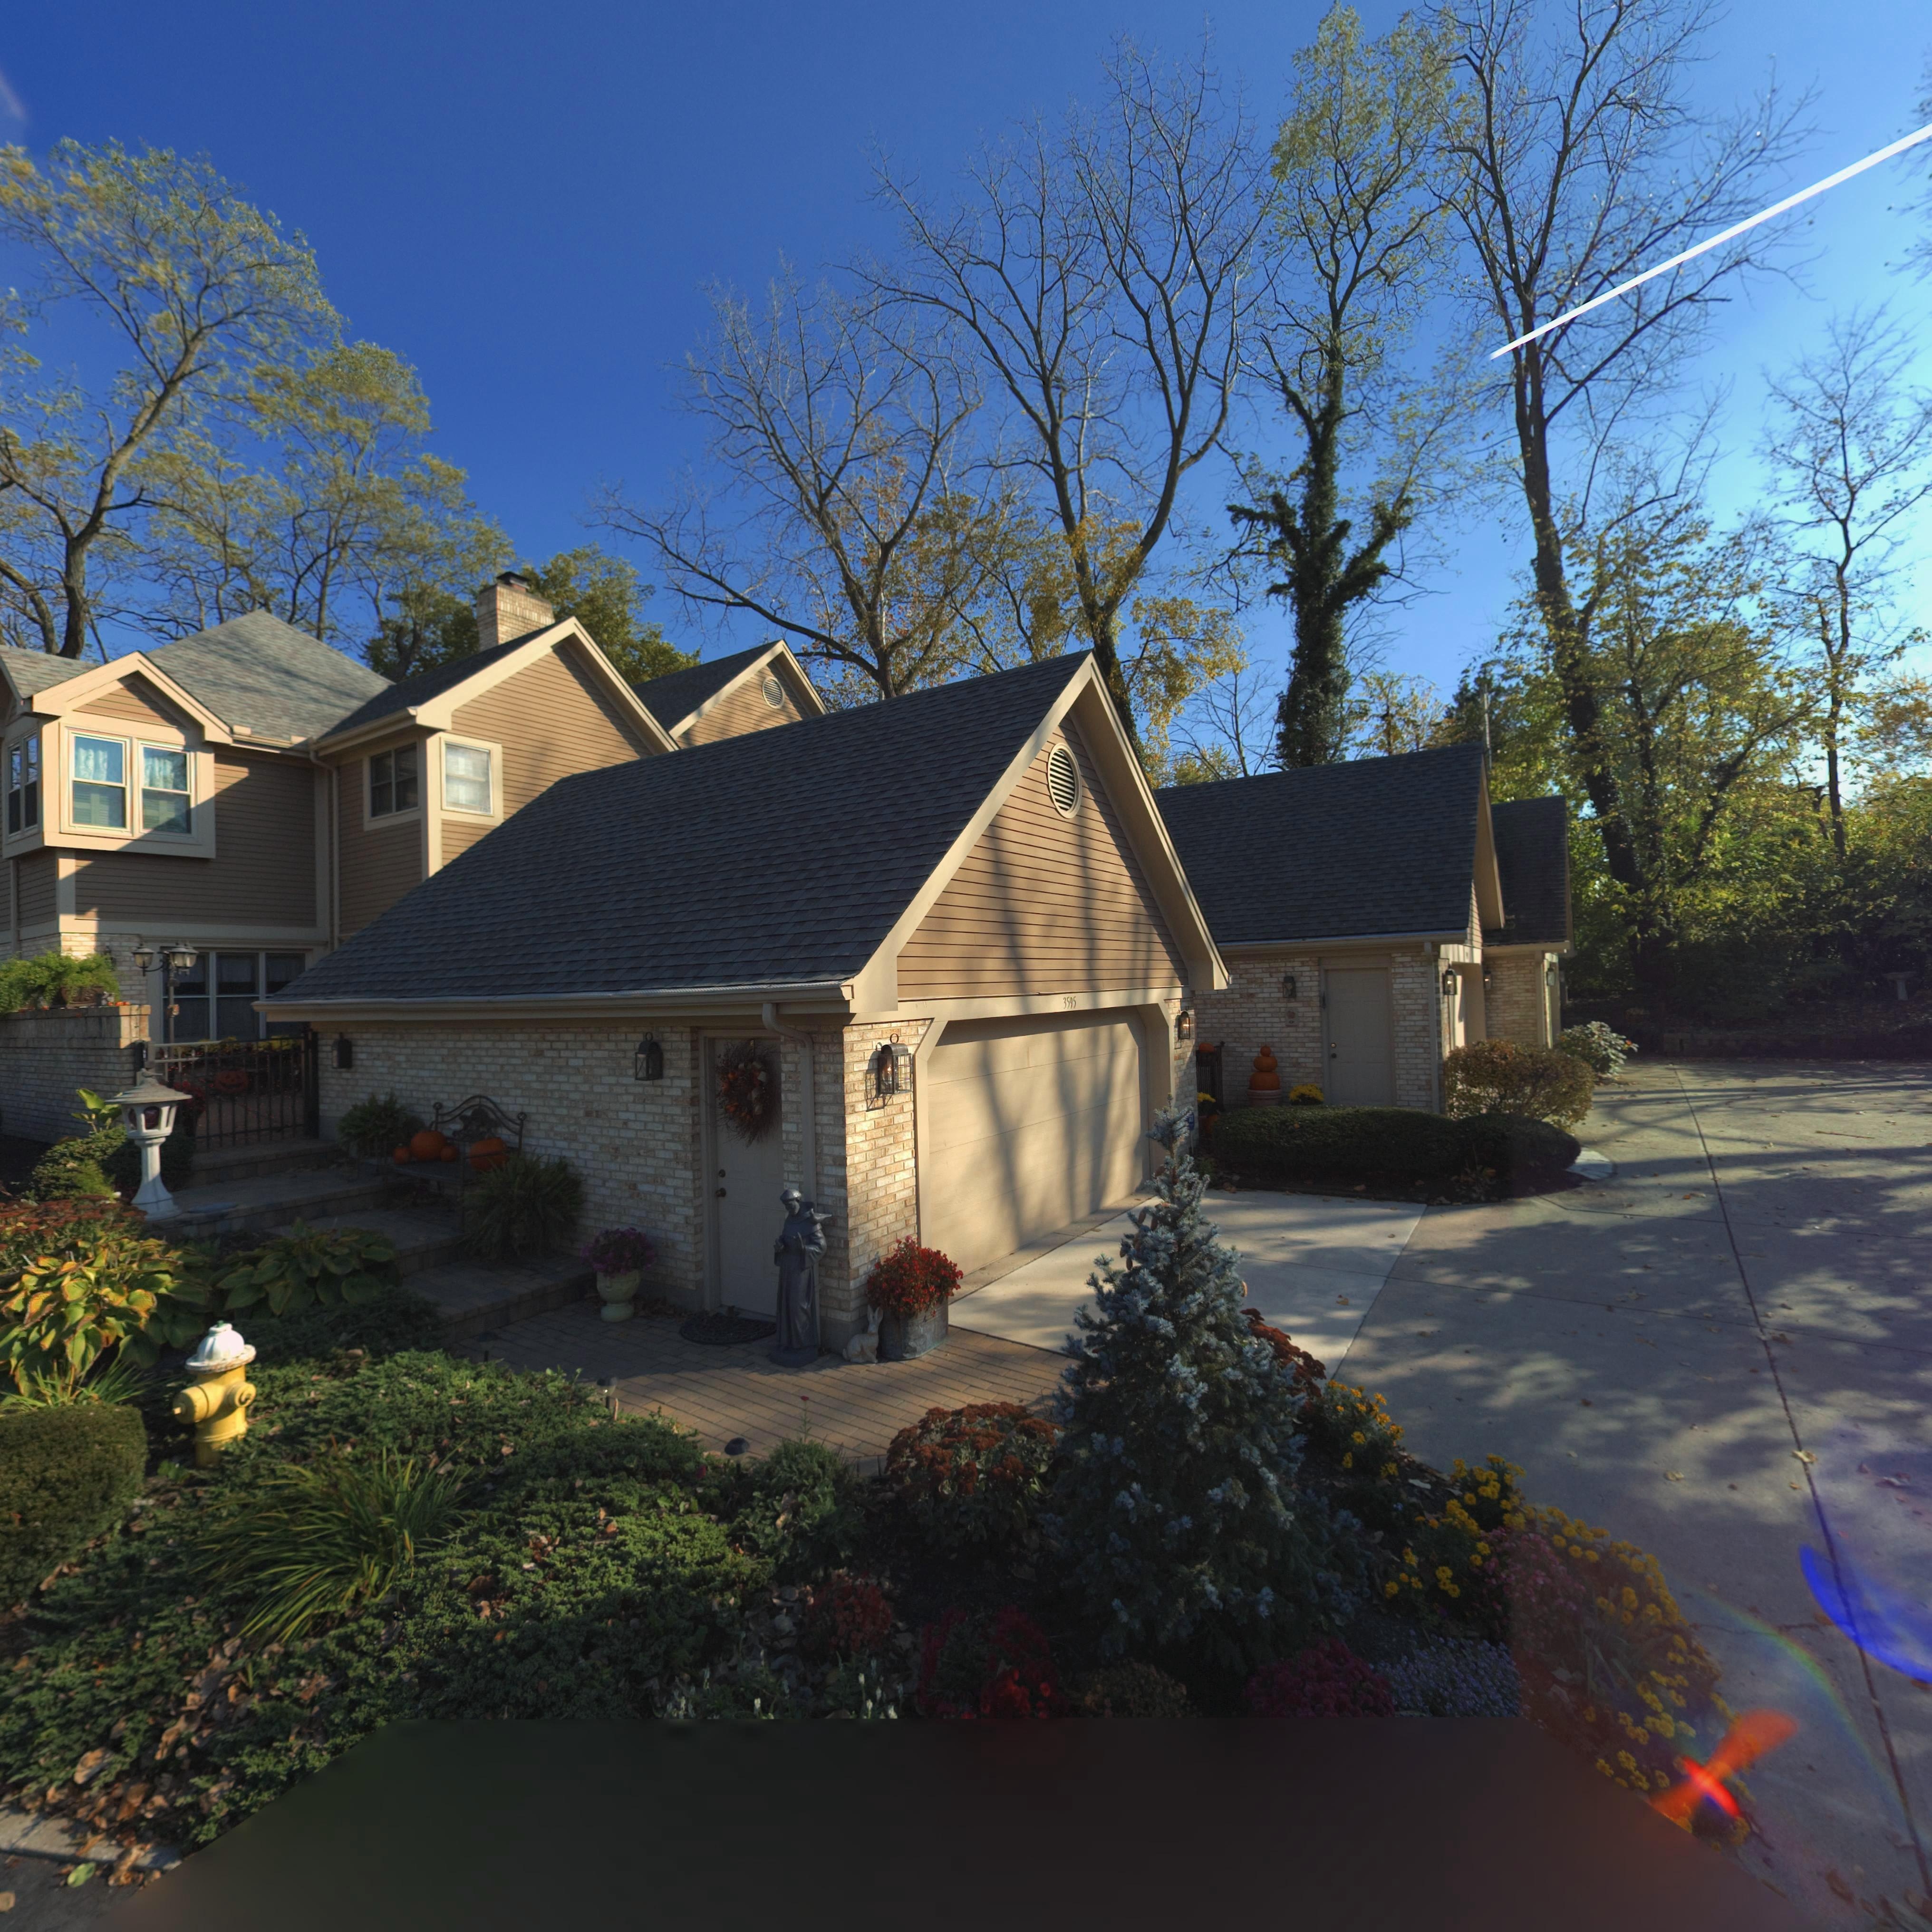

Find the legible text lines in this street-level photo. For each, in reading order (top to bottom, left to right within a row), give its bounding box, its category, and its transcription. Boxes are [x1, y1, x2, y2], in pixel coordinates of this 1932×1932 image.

[1062, 995, 1077, 1010] StreetNumber: 3595